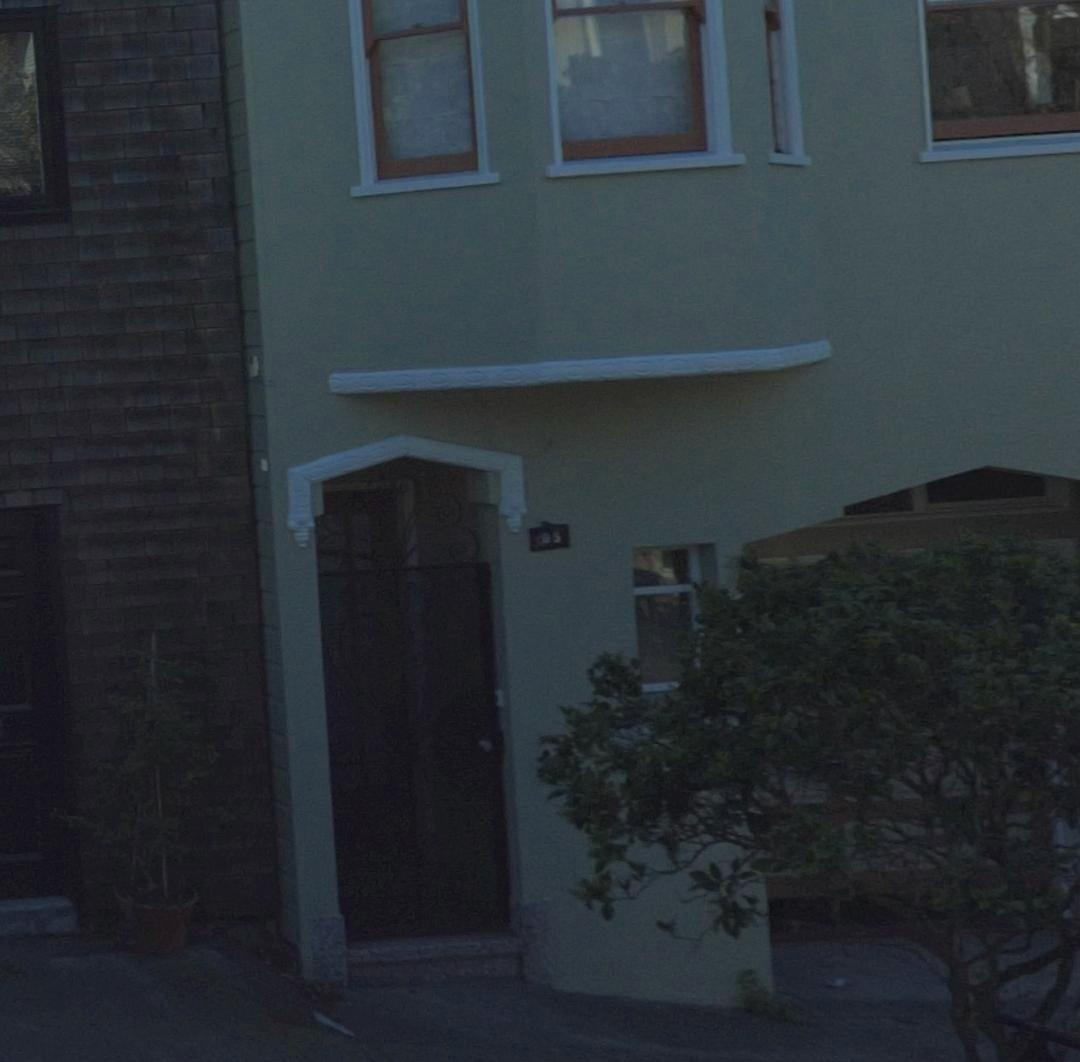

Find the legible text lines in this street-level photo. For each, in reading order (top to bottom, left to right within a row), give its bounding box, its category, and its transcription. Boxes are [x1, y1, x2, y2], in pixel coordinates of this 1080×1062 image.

[541, 530, 562, 544] StreetNumber: 305